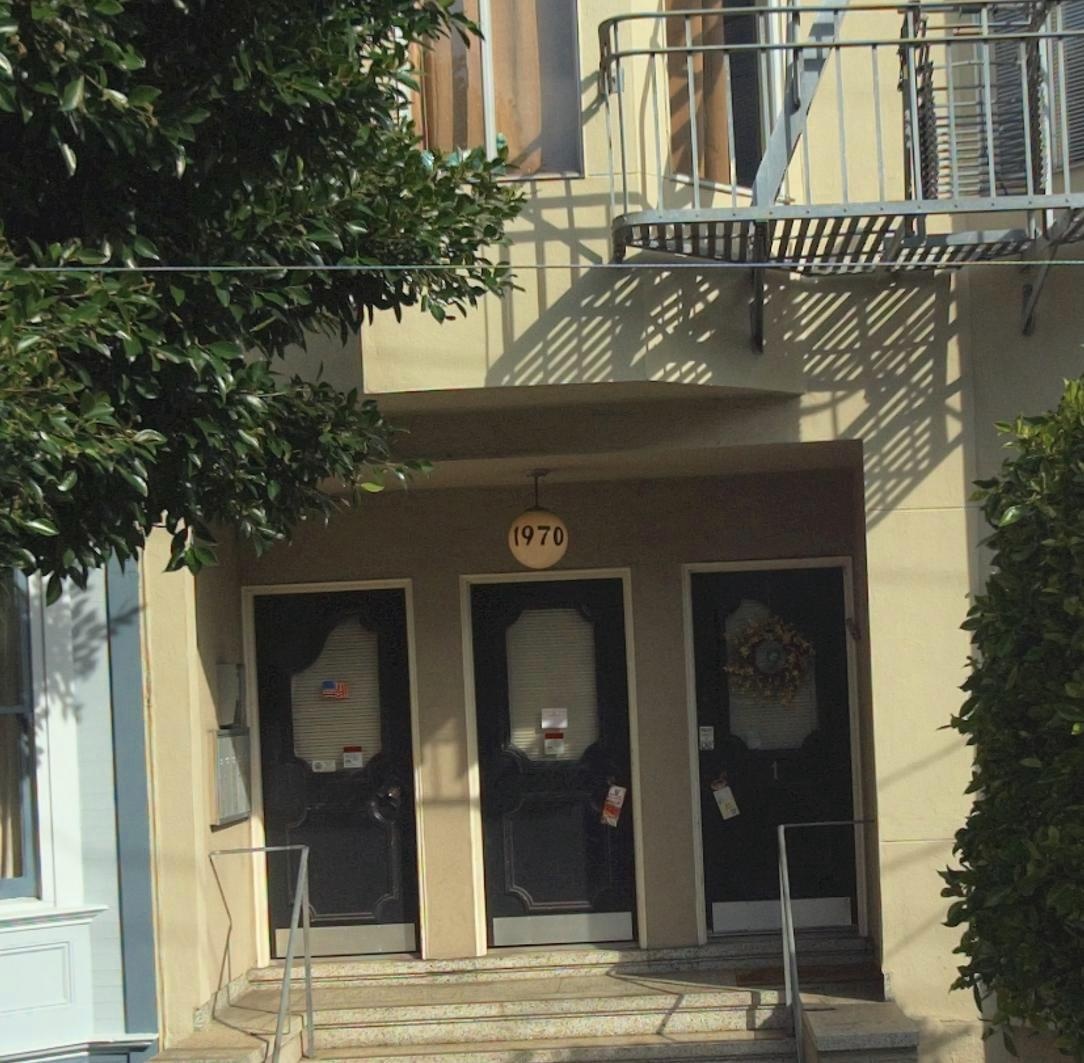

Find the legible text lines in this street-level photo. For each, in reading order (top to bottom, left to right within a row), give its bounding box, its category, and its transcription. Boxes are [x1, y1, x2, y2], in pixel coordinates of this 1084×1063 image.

[512, 523, 566, 548] StreetNumber: 1970